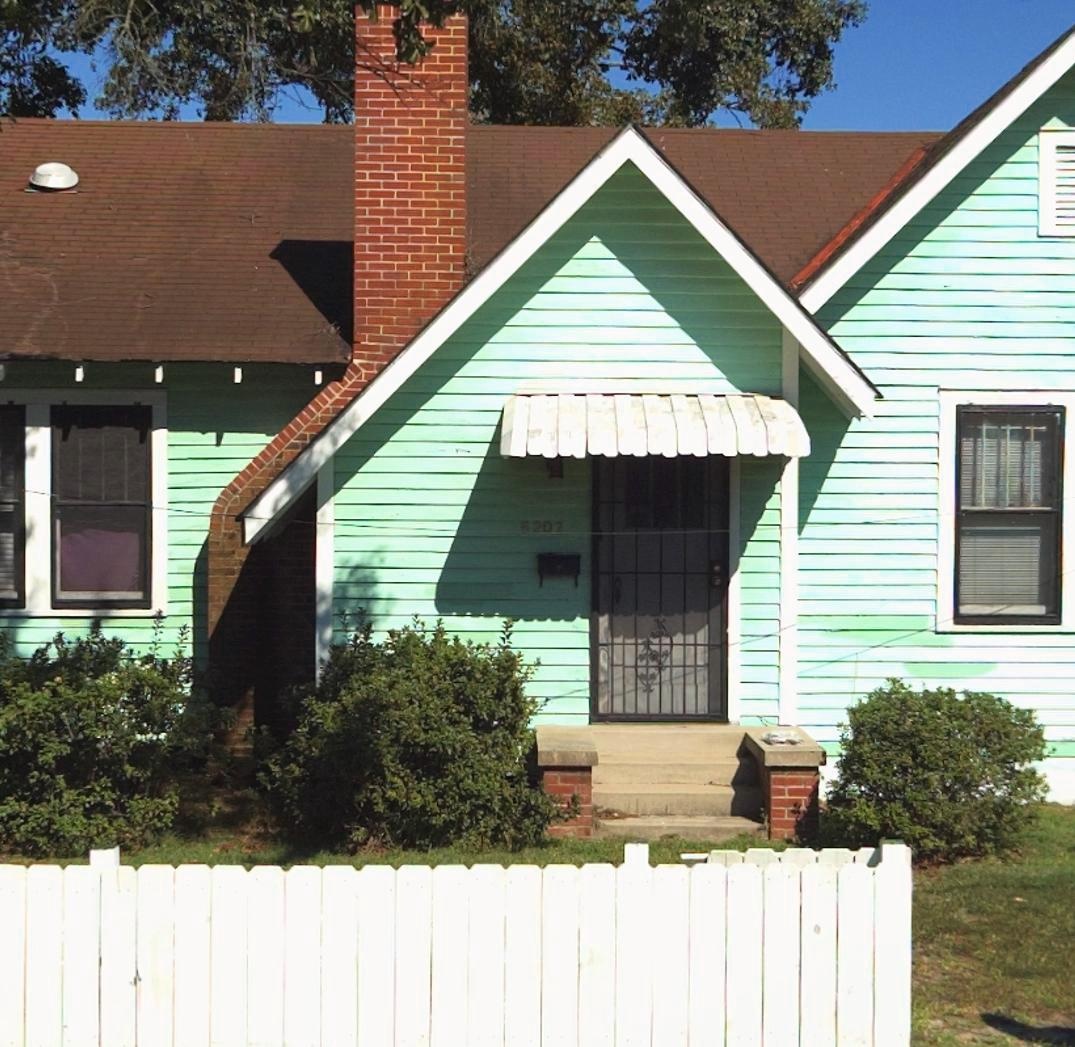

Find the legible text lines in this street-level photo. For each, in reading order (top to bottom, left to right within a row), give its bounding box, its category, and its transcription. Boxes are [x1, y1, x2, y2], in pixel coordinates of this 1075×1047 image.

[519, 518, 563, 534] StreetNumber: 5207